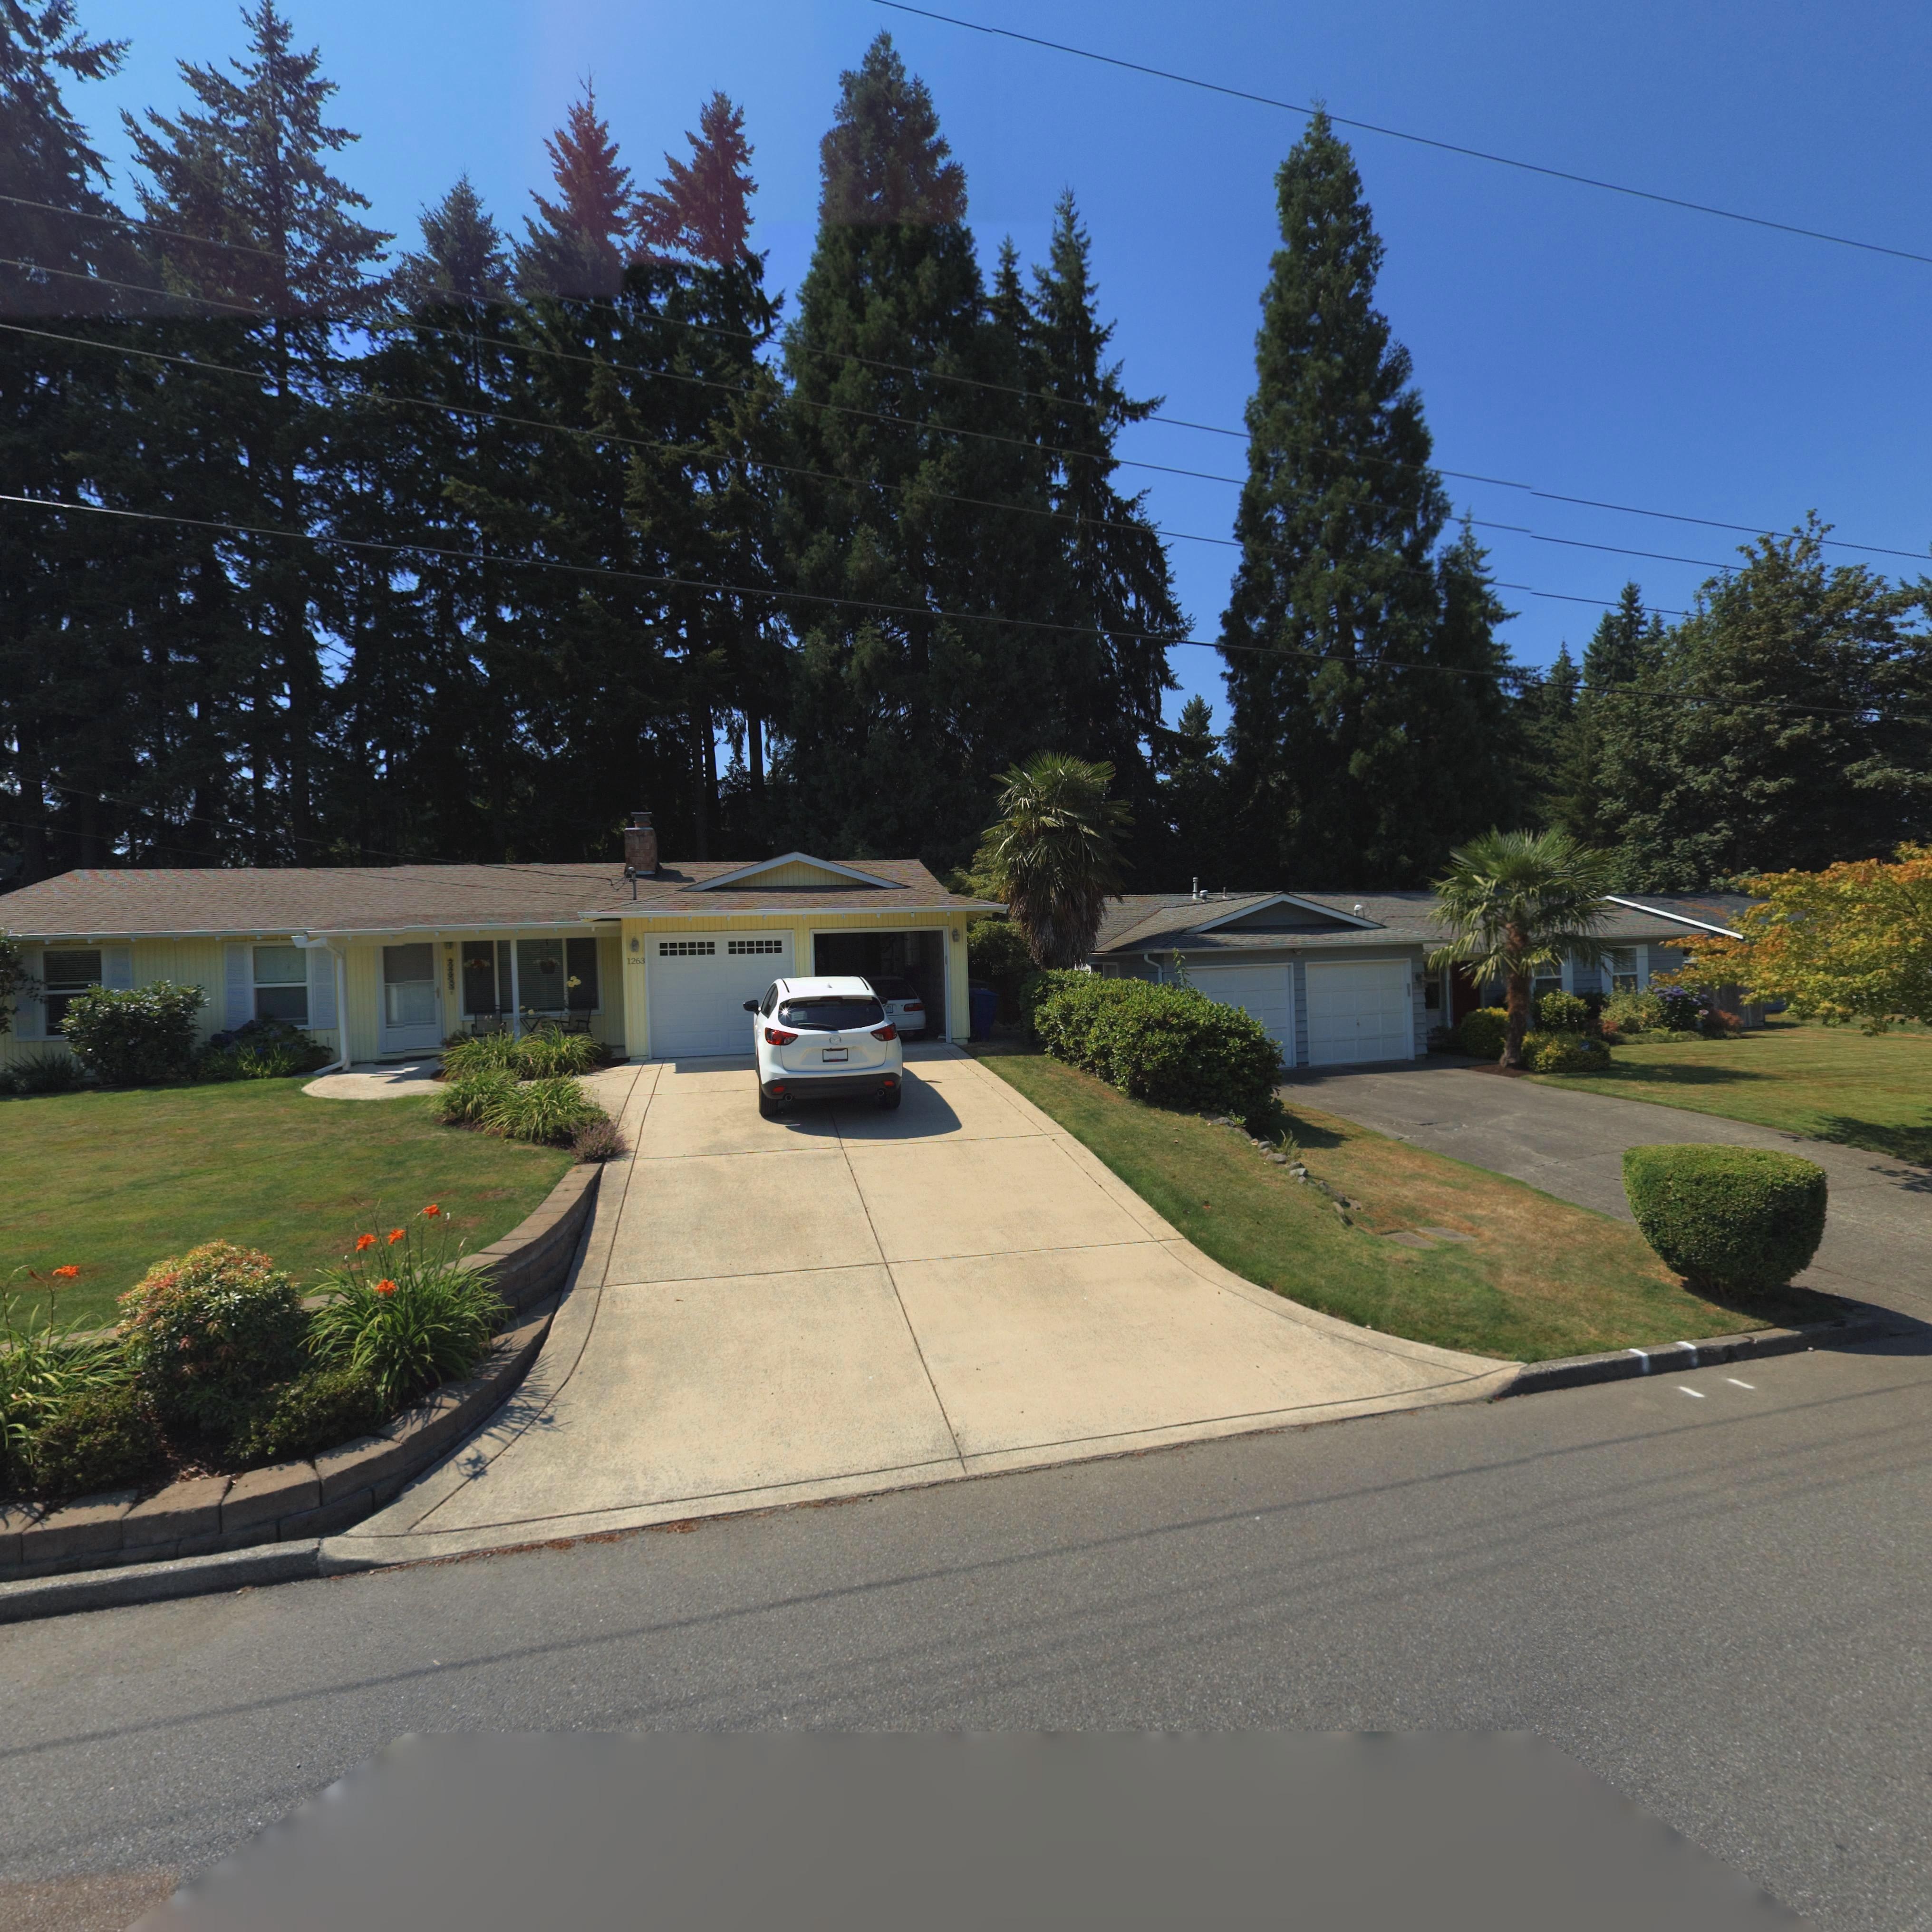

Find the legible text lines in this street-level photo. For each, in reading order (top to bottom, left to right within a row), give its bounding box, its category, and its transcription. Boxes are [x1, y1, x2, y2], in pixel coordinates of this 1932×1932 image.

[627, 956, 645, 965] StreetNumber: 1263